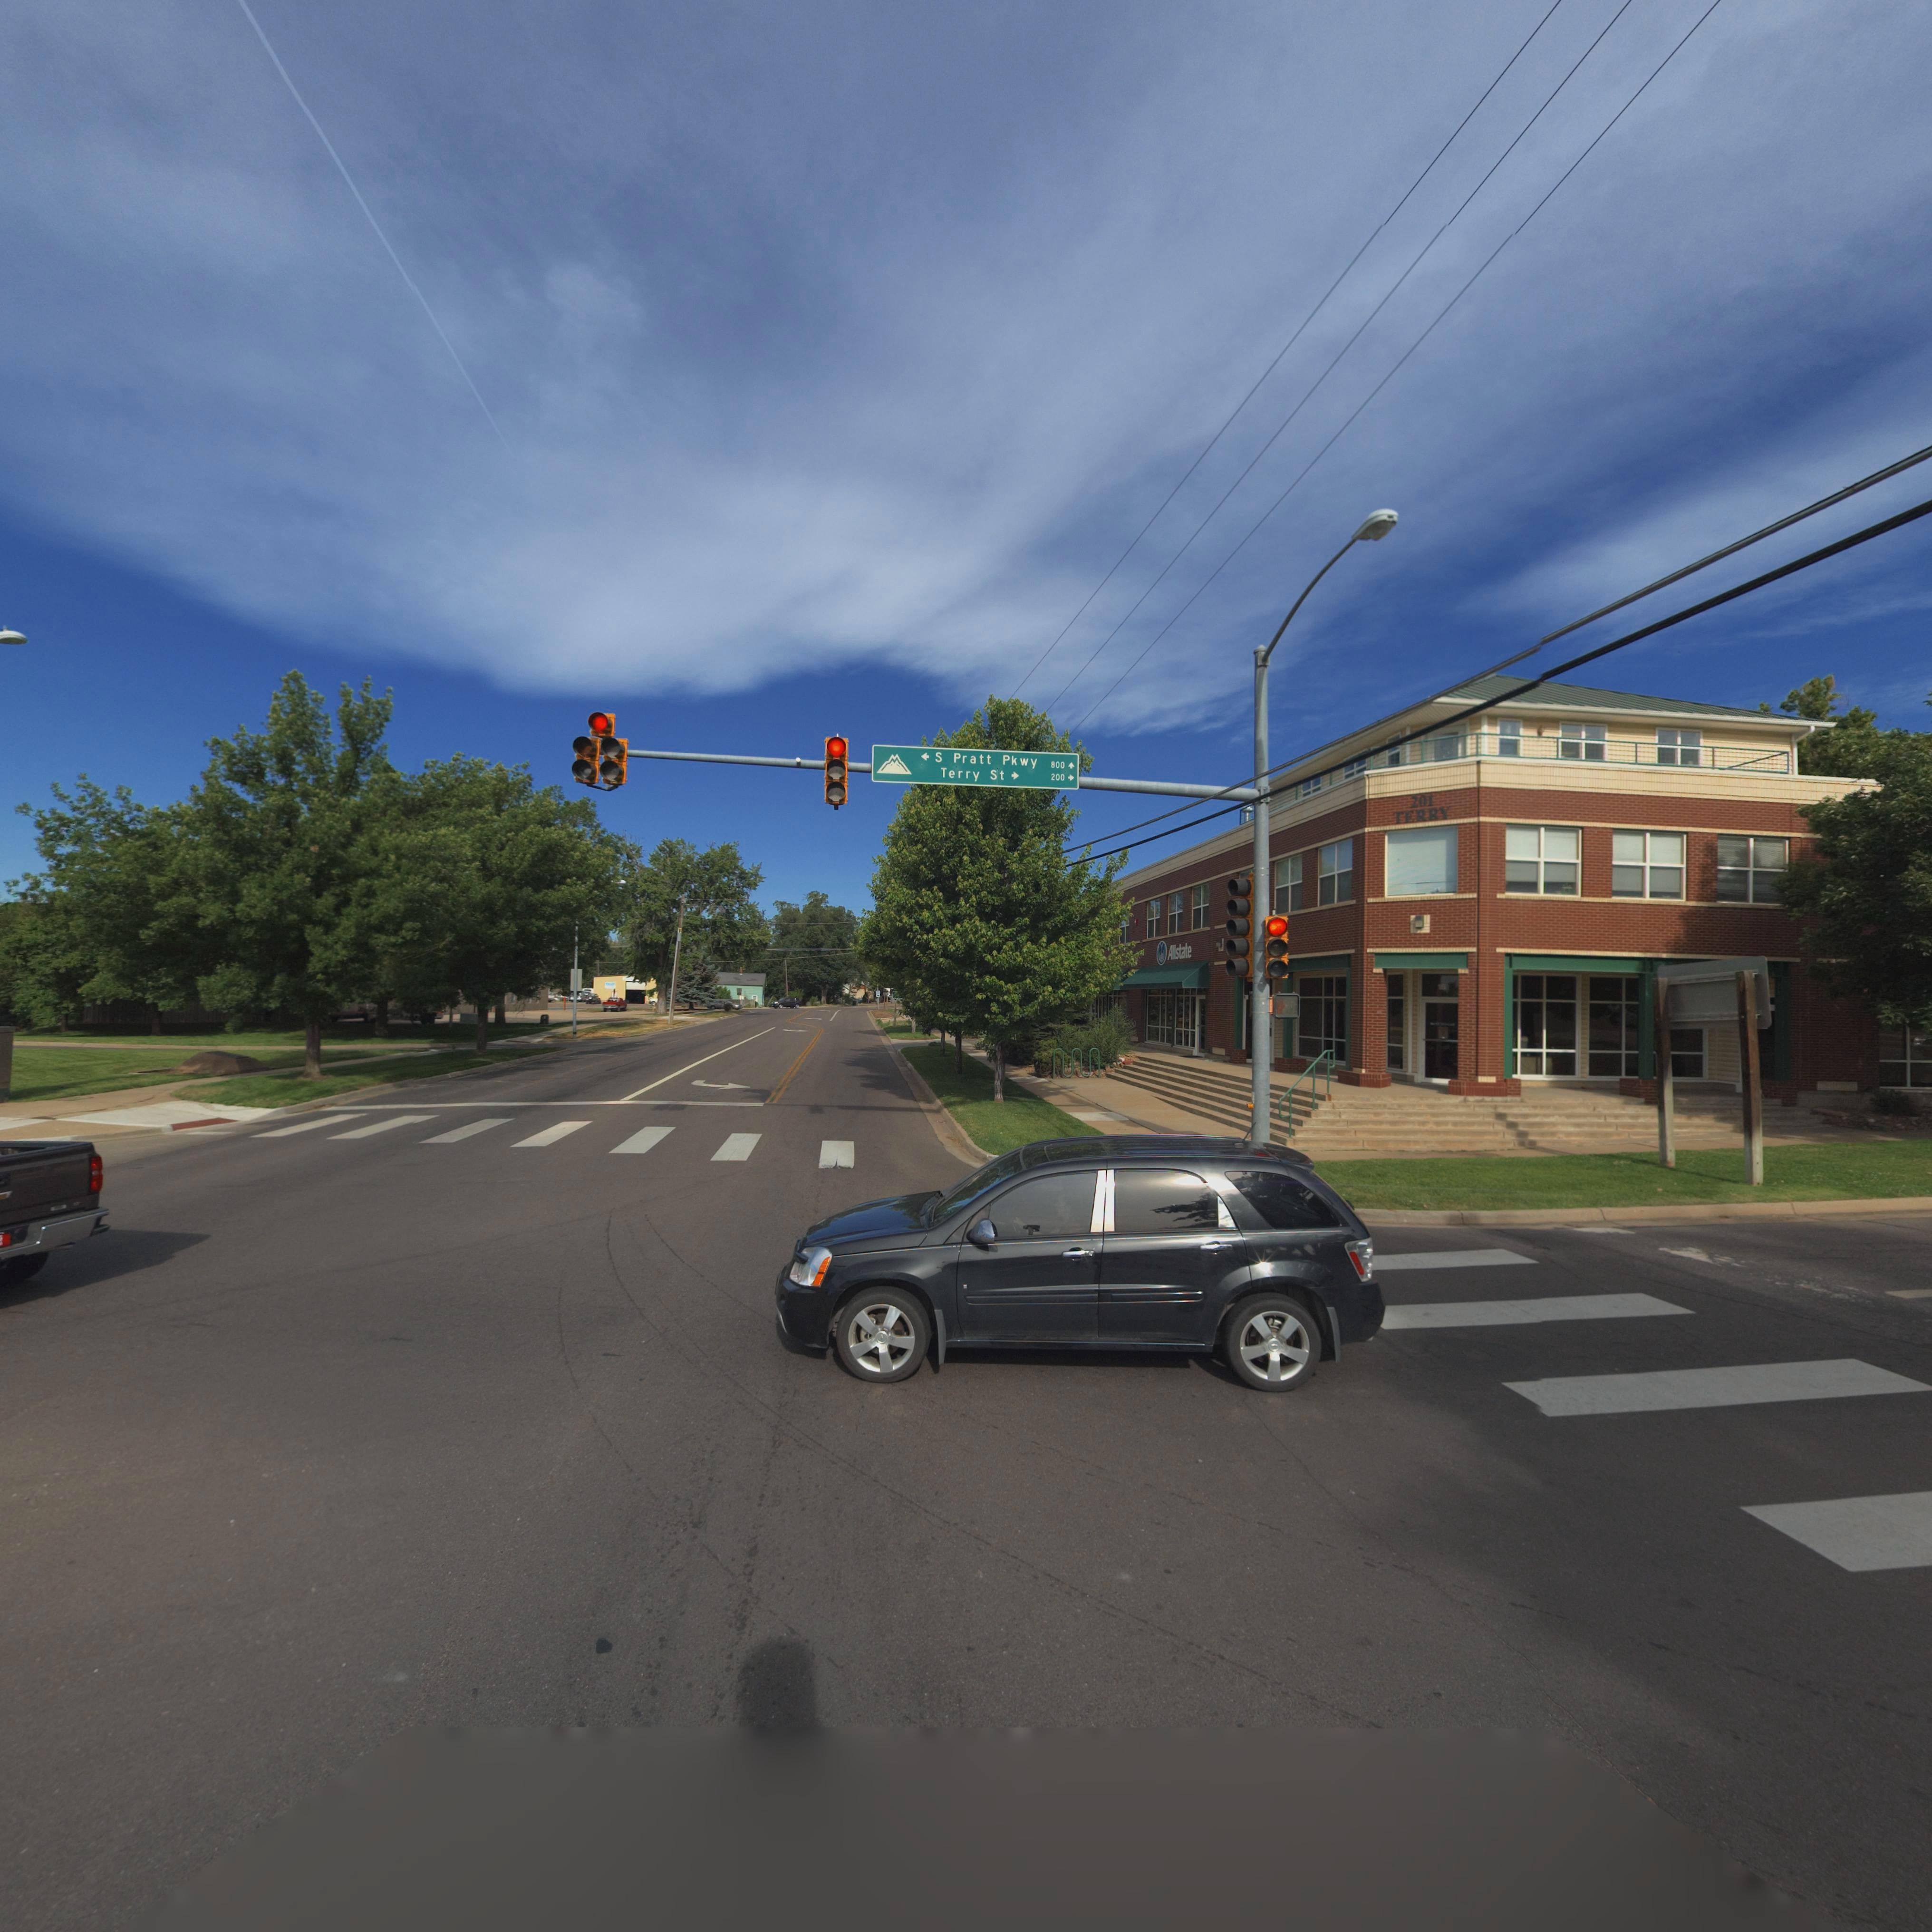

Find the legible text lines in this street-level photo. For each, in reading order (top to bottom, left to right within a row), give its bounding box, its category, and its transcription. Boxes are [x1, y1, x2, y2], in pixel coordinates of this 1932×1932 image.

[933, 751, 1038, 770] StreetName: S Pratt Pkwy
[1051, 761, 1065, 769] StreetNumberRange: 800
[939, 766, 1005, 782] StreetName: Terry St
[1050, 772, 1076, 782] StreetNumberRange: 200->
[1410, 794, 1434, 808] StreetNumber: 201
[1392, 805, 1450, 824] StreetName: TERRY
[1167, 943, 1192, 961] BusinessName: Allstate